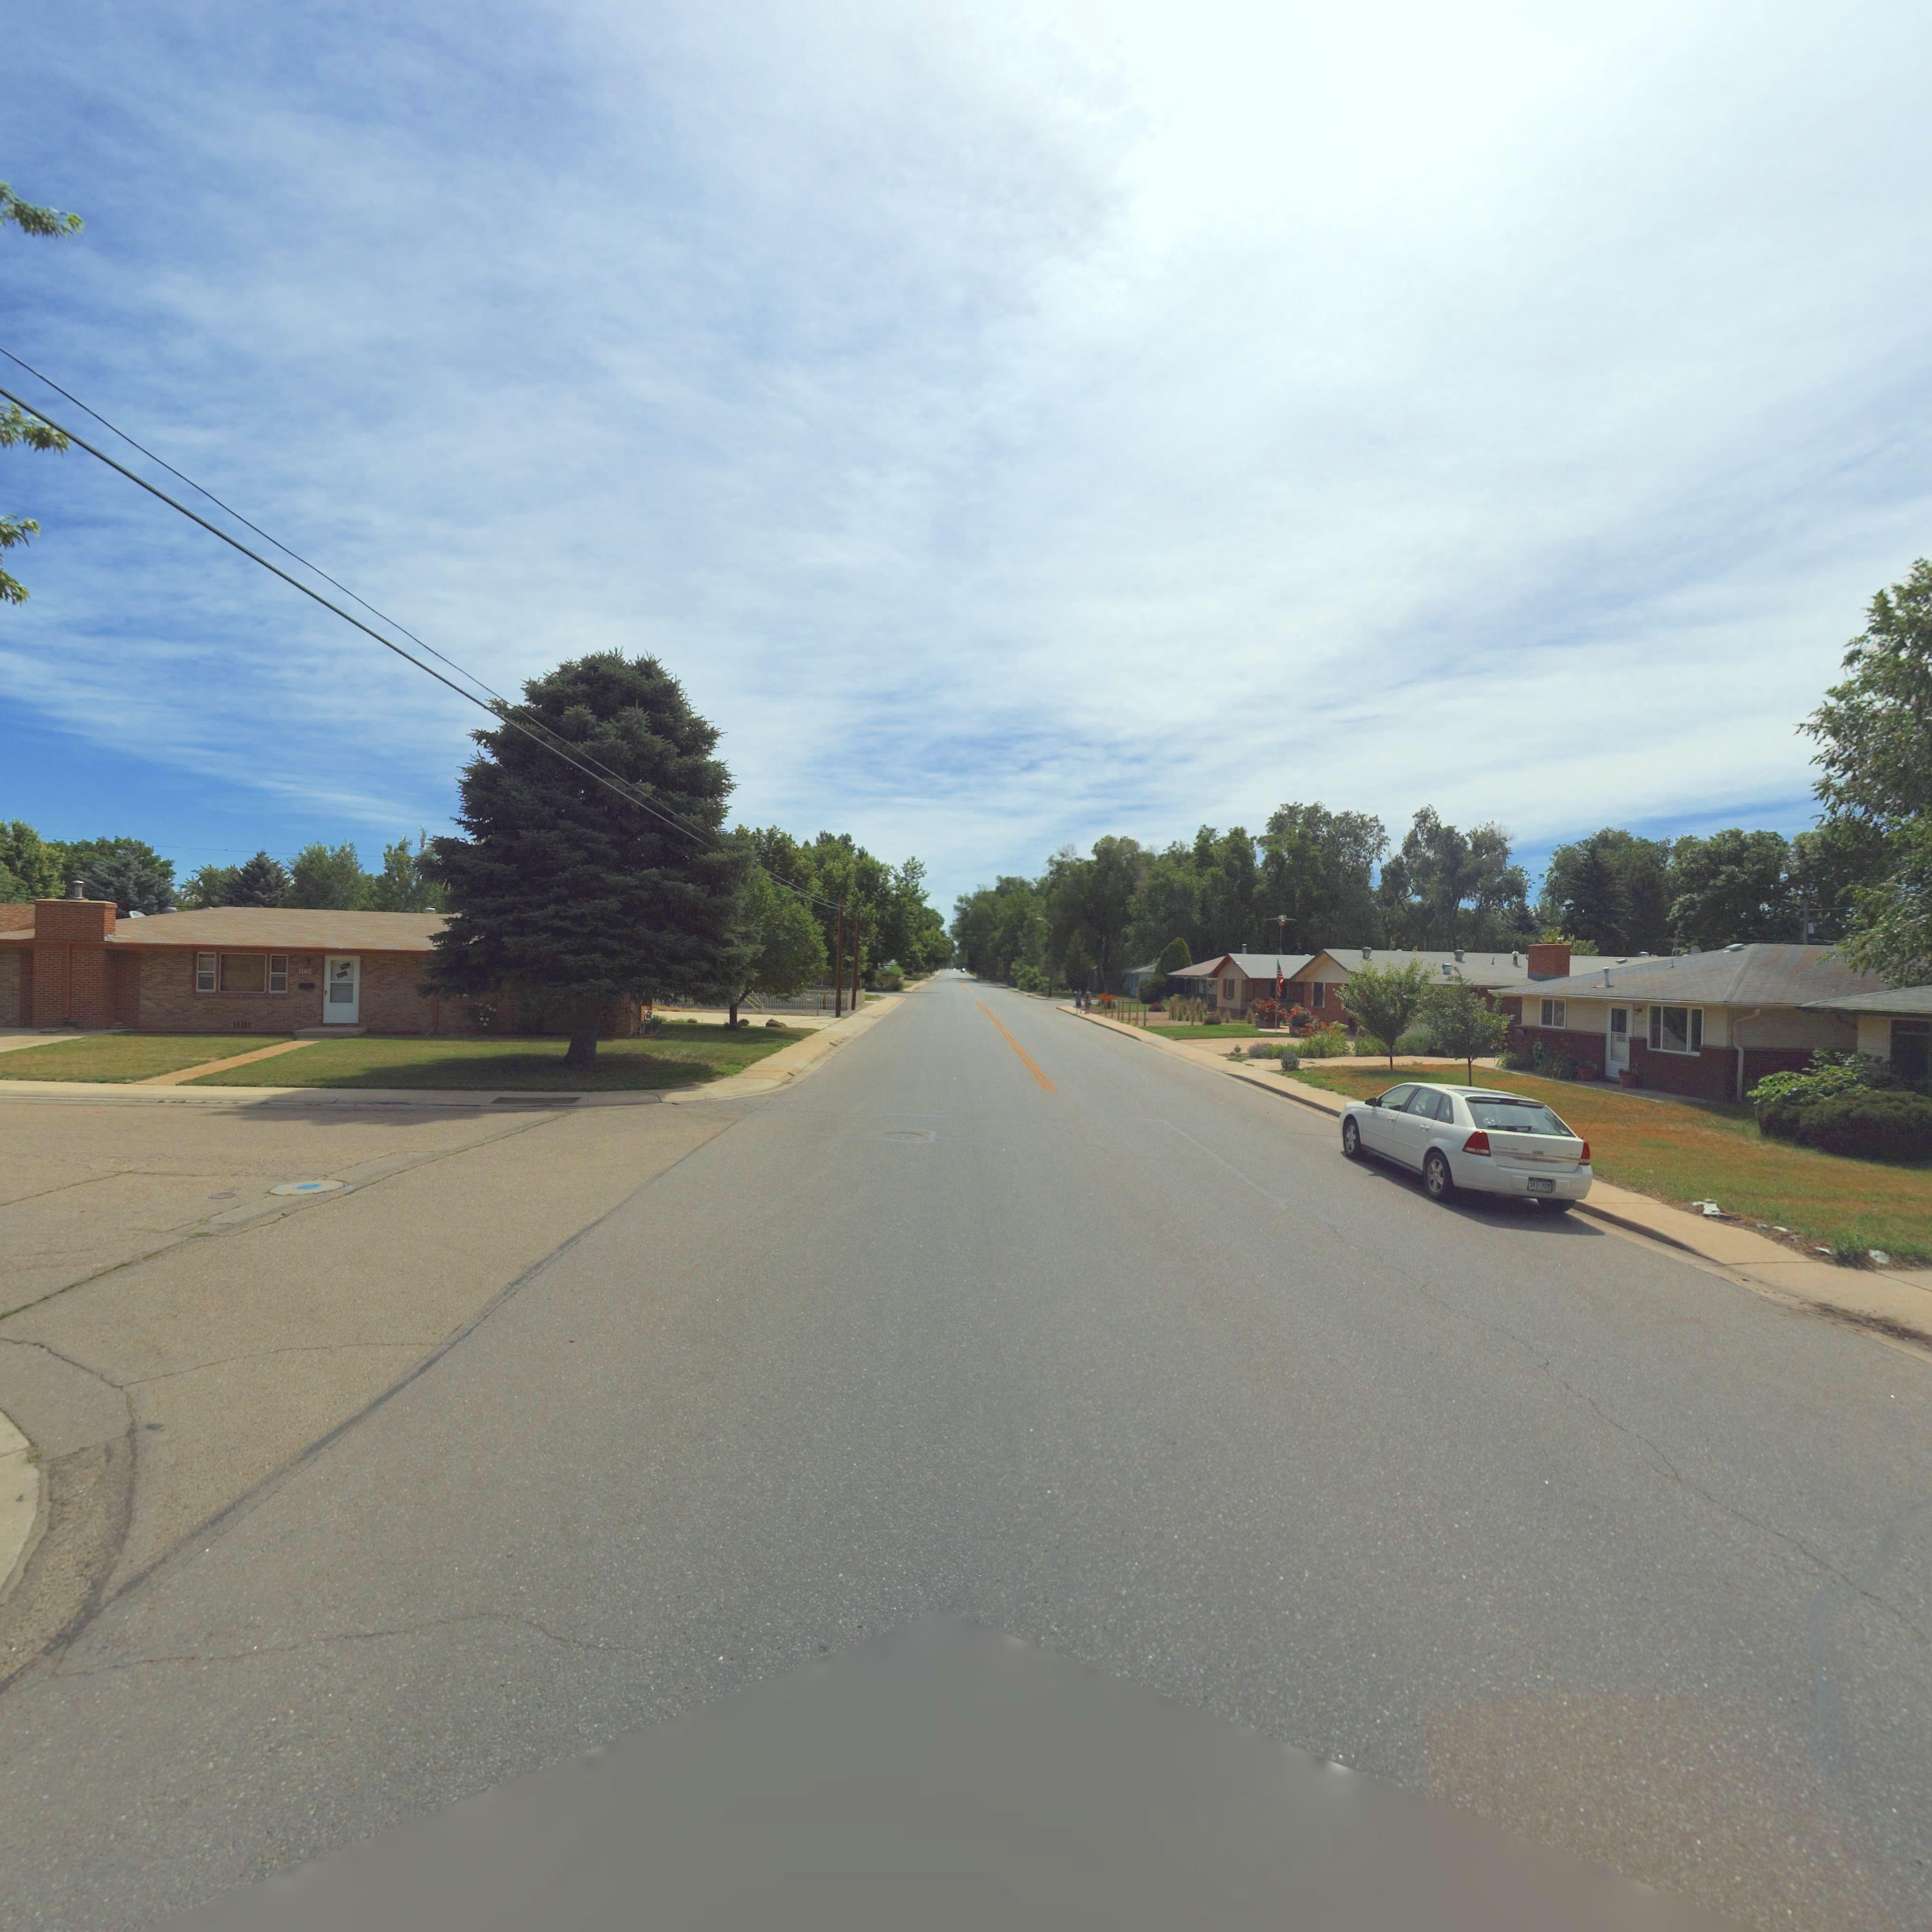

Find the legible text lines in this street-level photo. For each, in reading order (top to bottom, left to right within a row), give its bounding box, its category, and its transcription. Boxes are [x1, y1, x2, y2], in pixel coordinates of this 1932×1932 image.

[298, 968, 312, 975] StreetNumber: 1102
[1635, 1020, 1645, 1025] StreetNumber: 13**